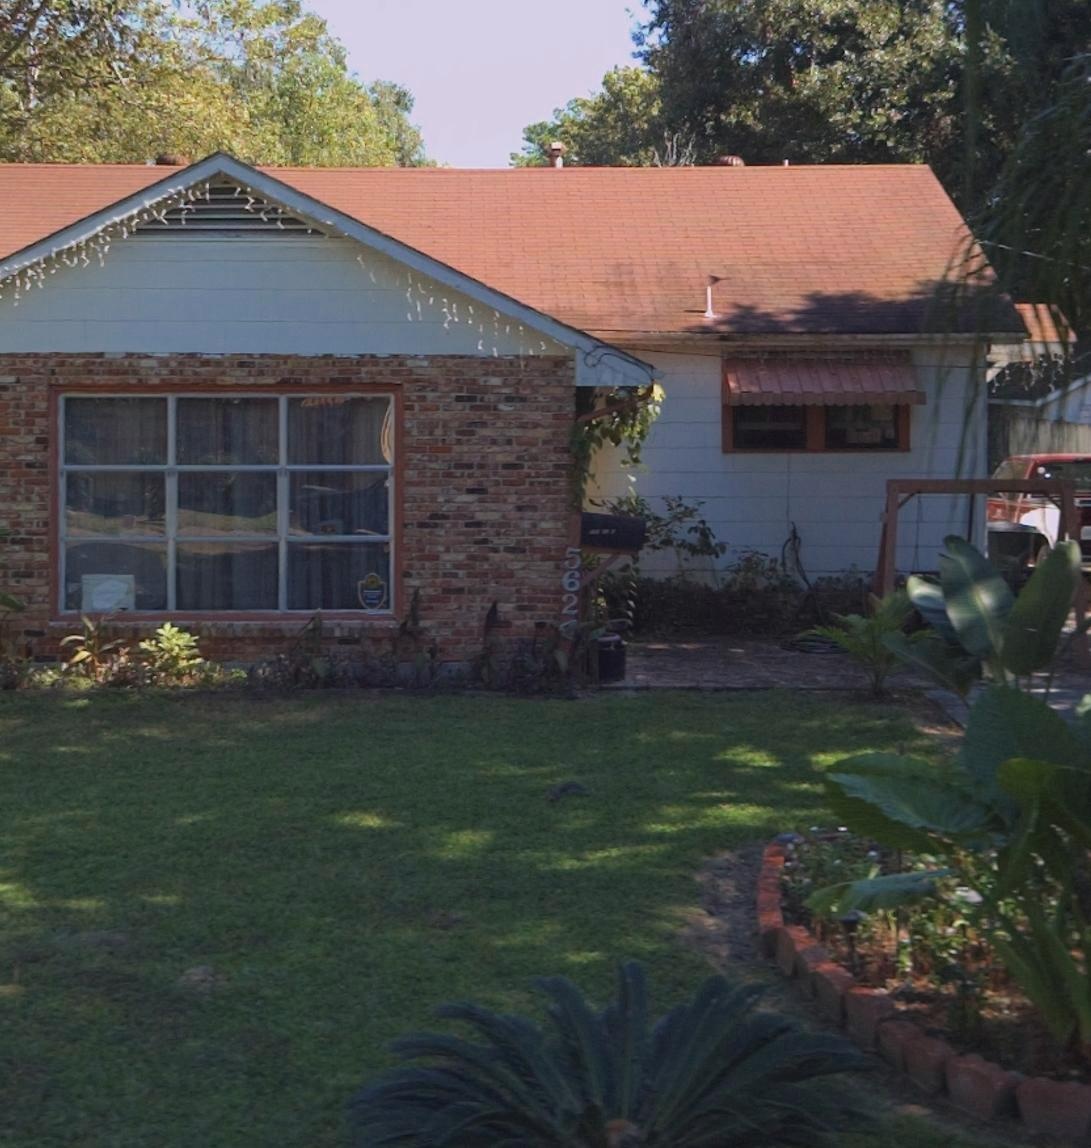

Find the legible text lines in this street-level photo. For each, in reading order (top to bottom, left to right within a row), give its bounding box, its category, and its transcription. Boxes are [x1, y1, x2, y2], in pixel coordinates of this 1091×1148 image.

[557, 546, 584, 643] StreetNumber: 562*